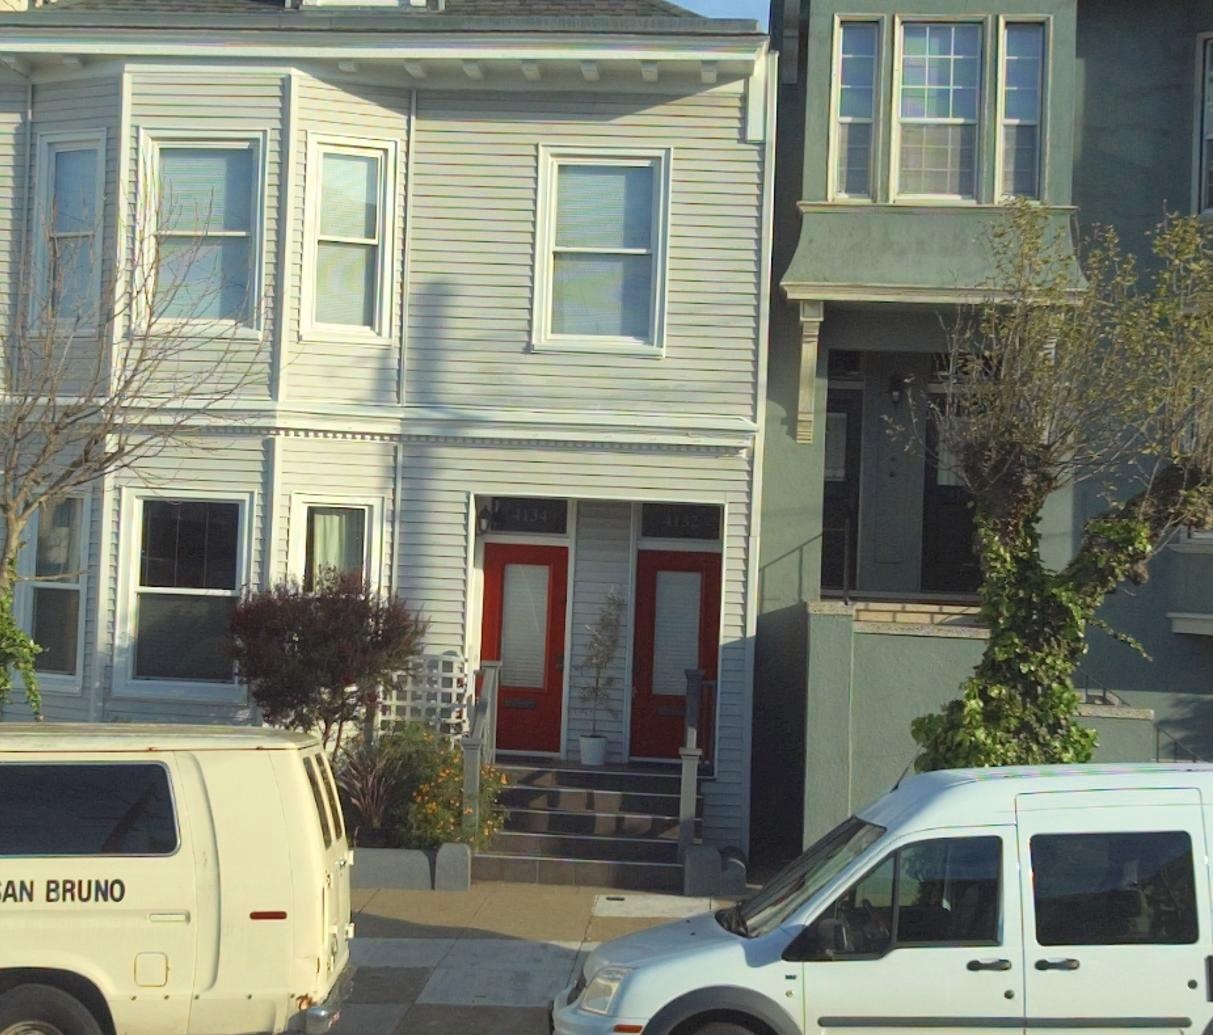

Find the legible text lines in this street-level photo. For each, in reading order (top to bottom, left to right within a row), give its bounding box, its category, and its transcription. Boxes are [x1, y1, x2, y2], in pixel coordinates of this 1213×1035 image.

[509, 505, 550, 525] StreetNumber: 4134
[658, 511, 701, 531] StreetNumber: 4132
[0, 874, 128, 907] None: AN BRUNO